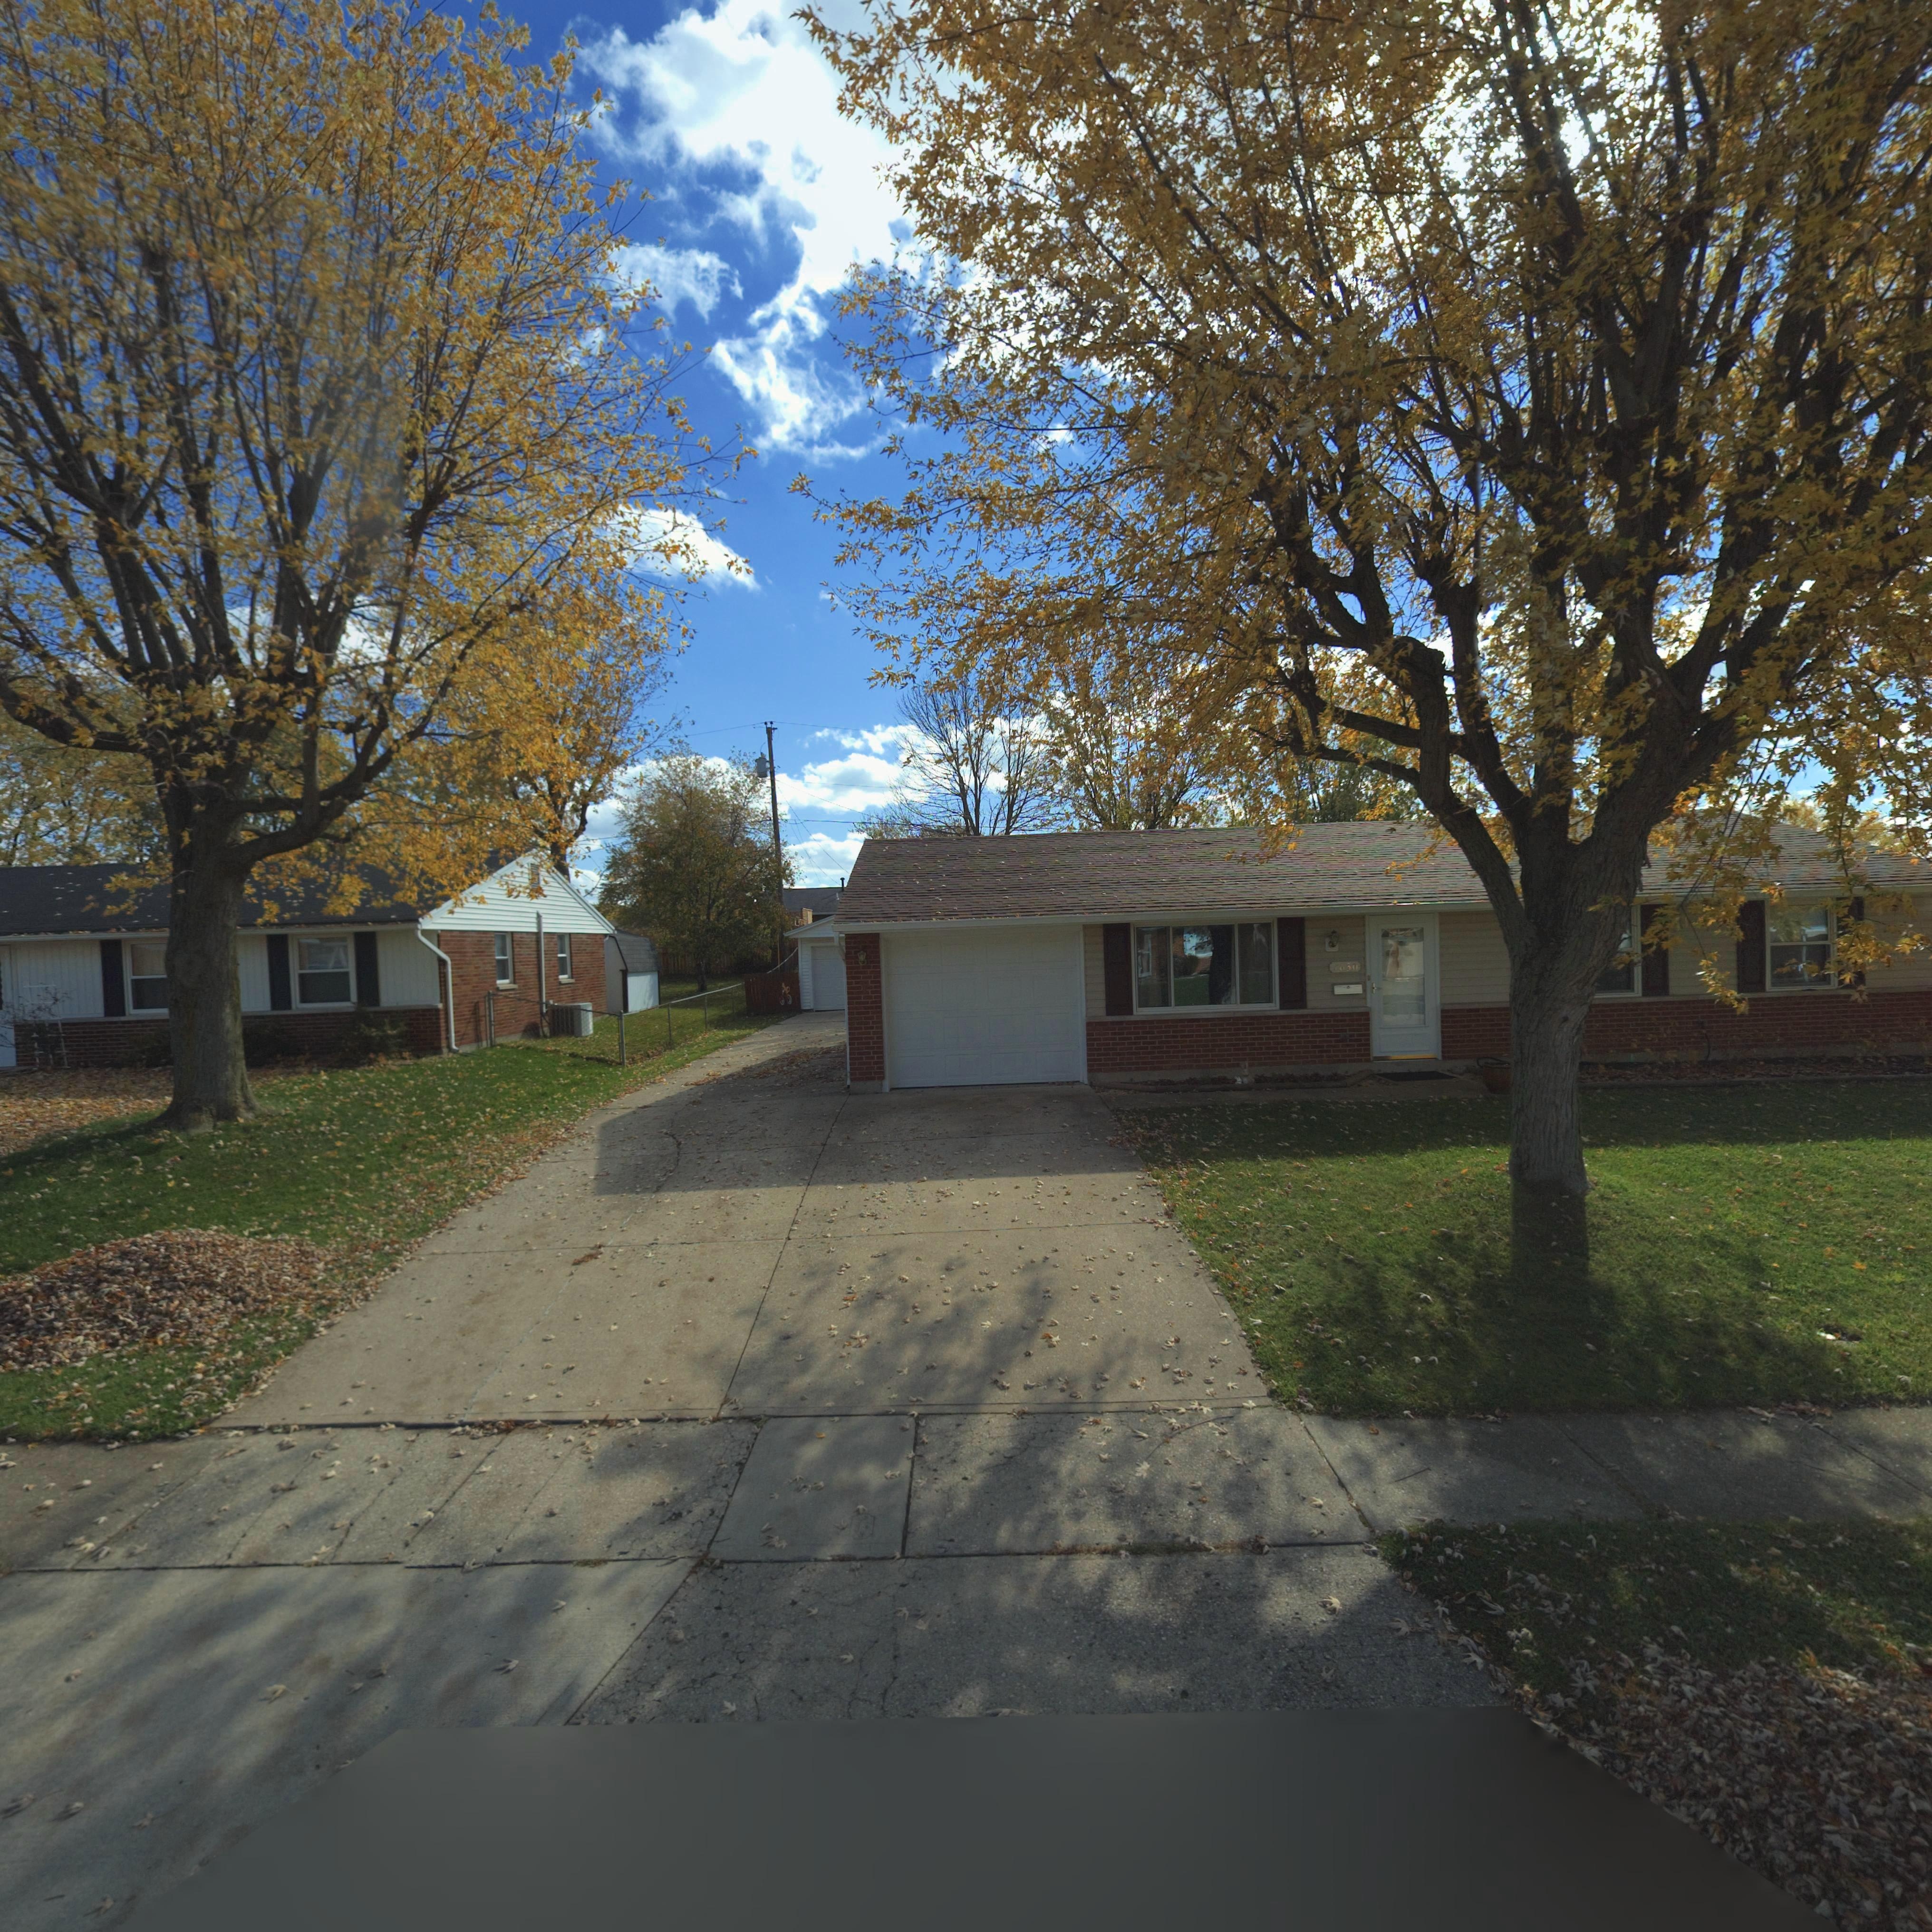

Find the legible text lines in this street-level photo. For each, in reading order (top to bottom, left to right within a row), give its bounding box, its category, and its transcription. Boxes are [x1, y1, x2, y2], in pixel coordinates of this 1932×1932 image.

[1333, 961, 1359, 973] StreetNumber: 7630